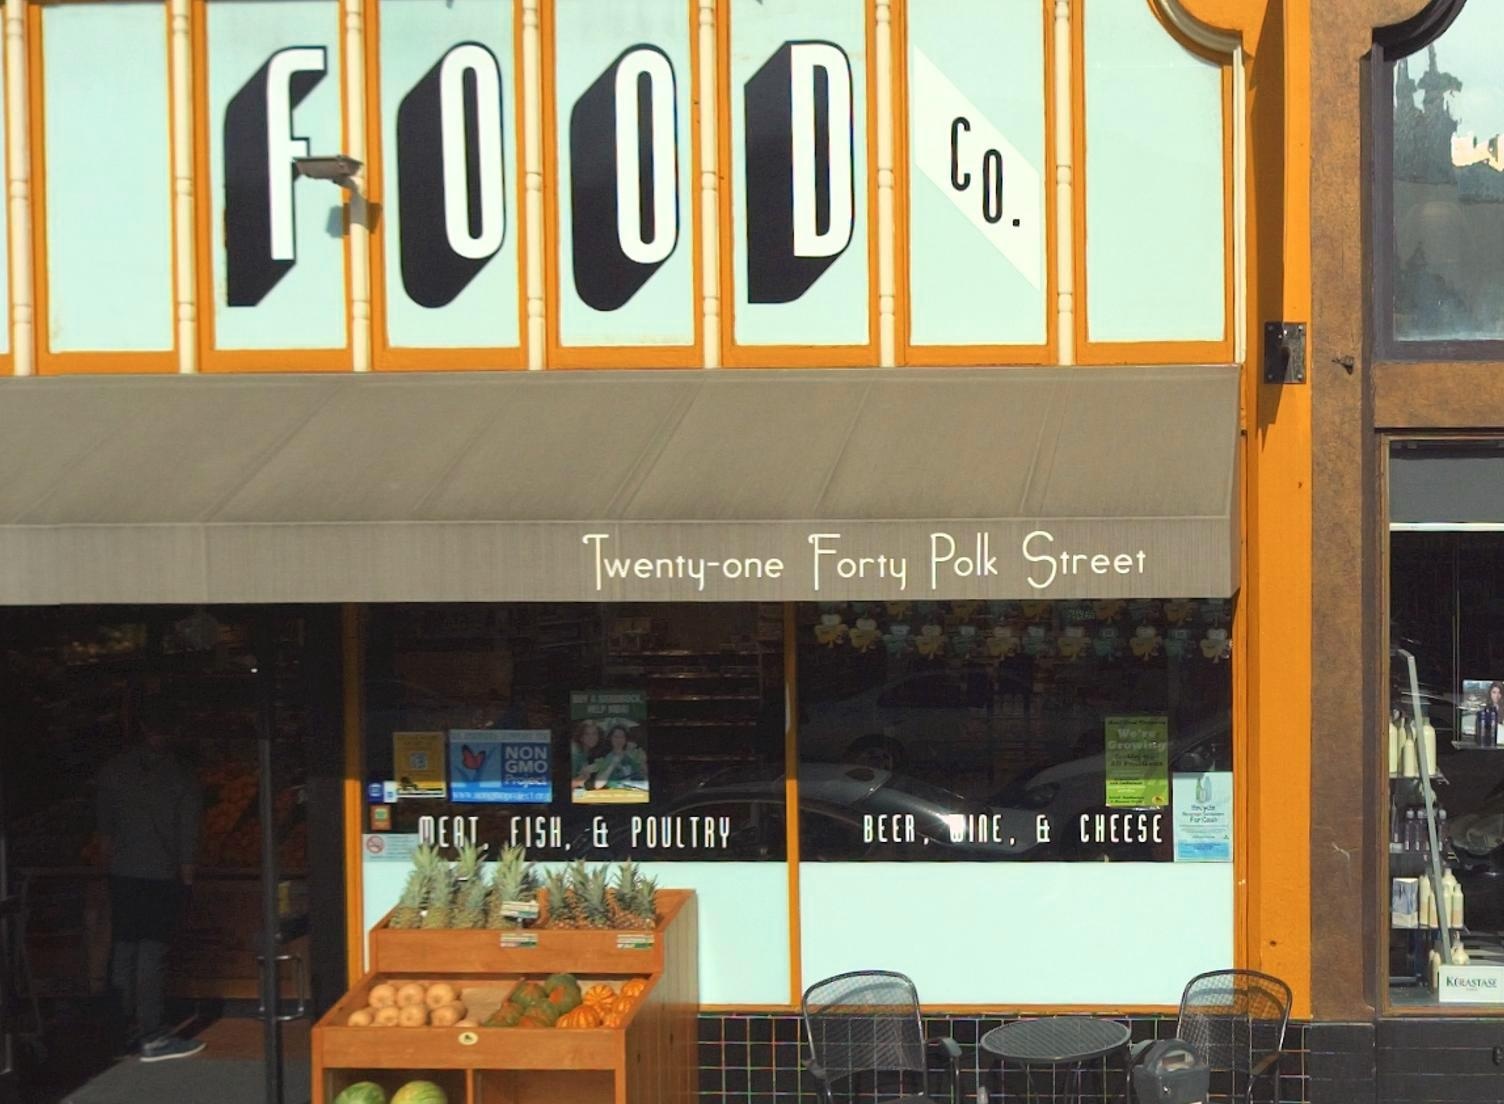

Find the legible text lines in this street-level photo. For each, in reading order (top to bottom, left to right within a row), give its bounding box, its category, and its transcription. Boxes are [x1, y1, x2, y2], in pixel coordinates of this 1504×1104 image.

[261, 40, 855, 268] BusinessName: F O O D
[946, 110, 1025, 251] BusinessName: CO.
[581, 528, 908, 597] StreetNumber: Twenty-one Forty
[927, 528, 1147, 593] StreetName: Polk Street
[505, 743, 547, 762] None: NON
[504, 758, 548, 775] None: GMO
[1113, 724, 1157, 740] None: We're
[1106, 737, 1165, 753] None: Growing
[416, 812, 731, 852] None: MEAT, FISH, & POULTRY
[861, 812, 1163, 845] None: BEER, WINE, & CHEESE
[1445, 974, 1497, 989] None: K*RASTASE